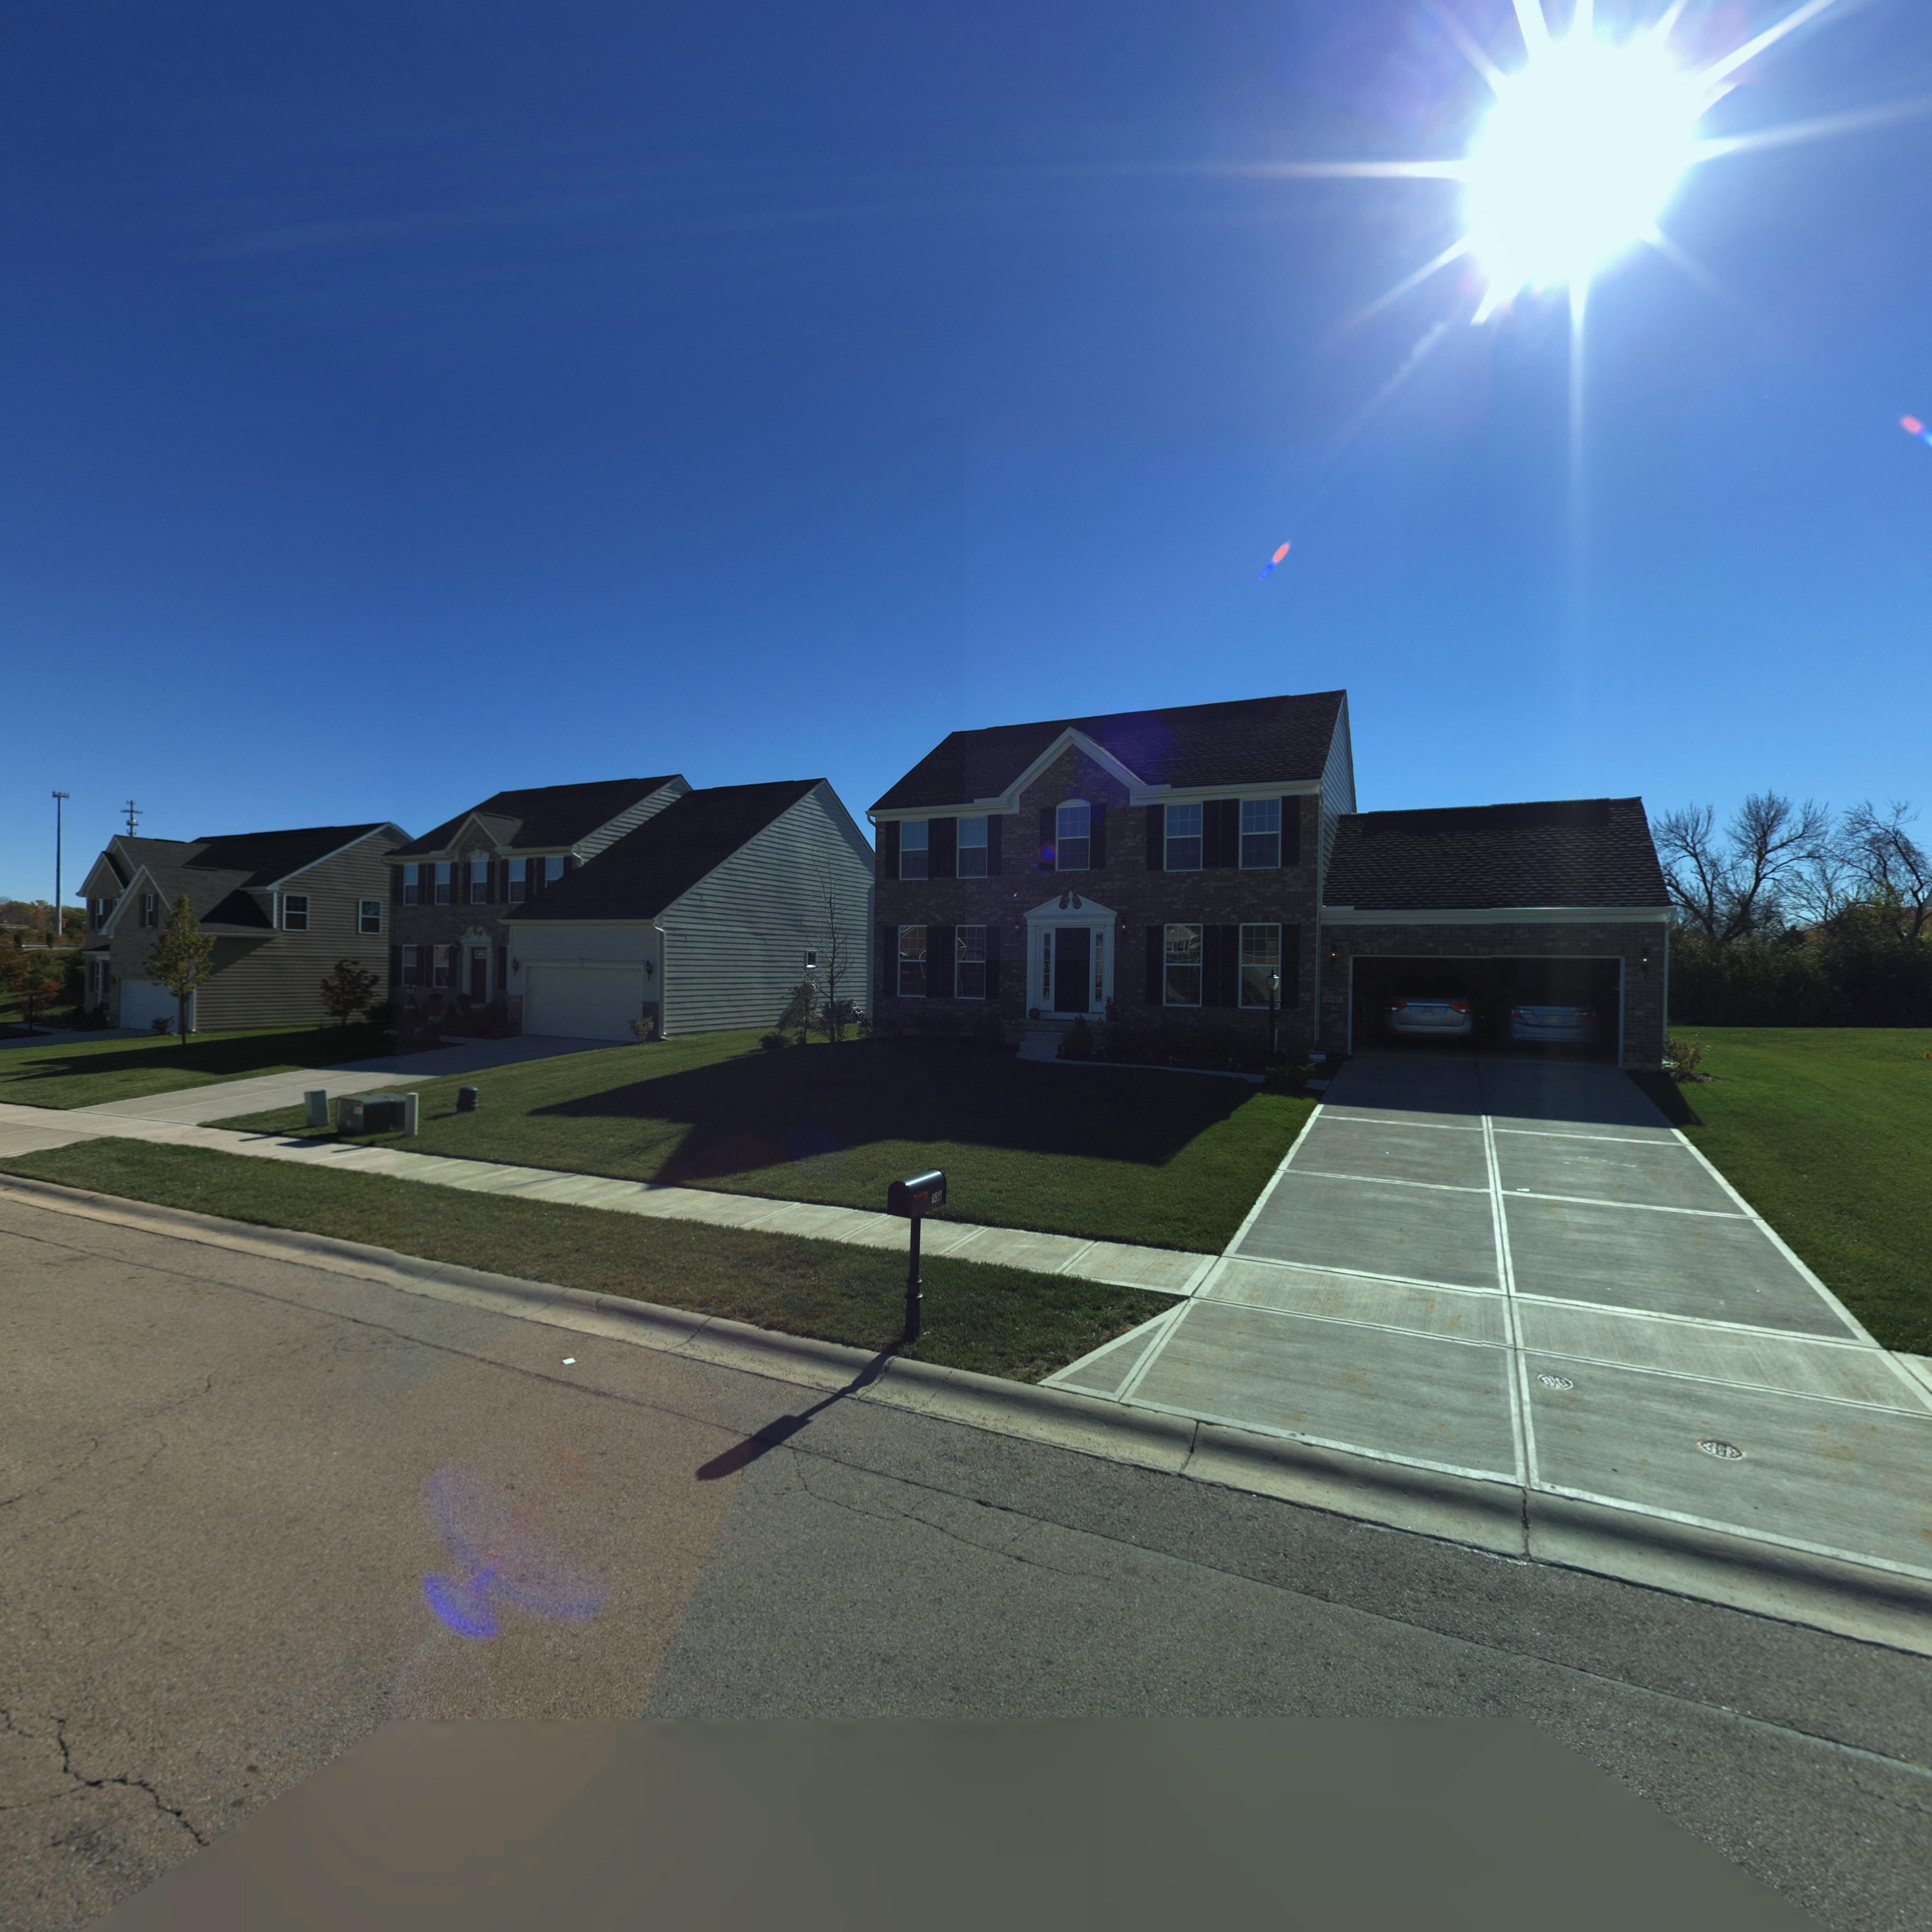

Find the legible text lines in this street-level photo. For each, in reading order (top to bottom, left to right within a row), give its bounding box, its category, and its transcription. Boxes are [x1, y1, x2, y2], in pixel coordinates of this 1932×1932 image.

[1324, 996, 1342, 1003] StreetNumber: 6848
[931, 1188, 944, 1205] StreetNumber: 6846